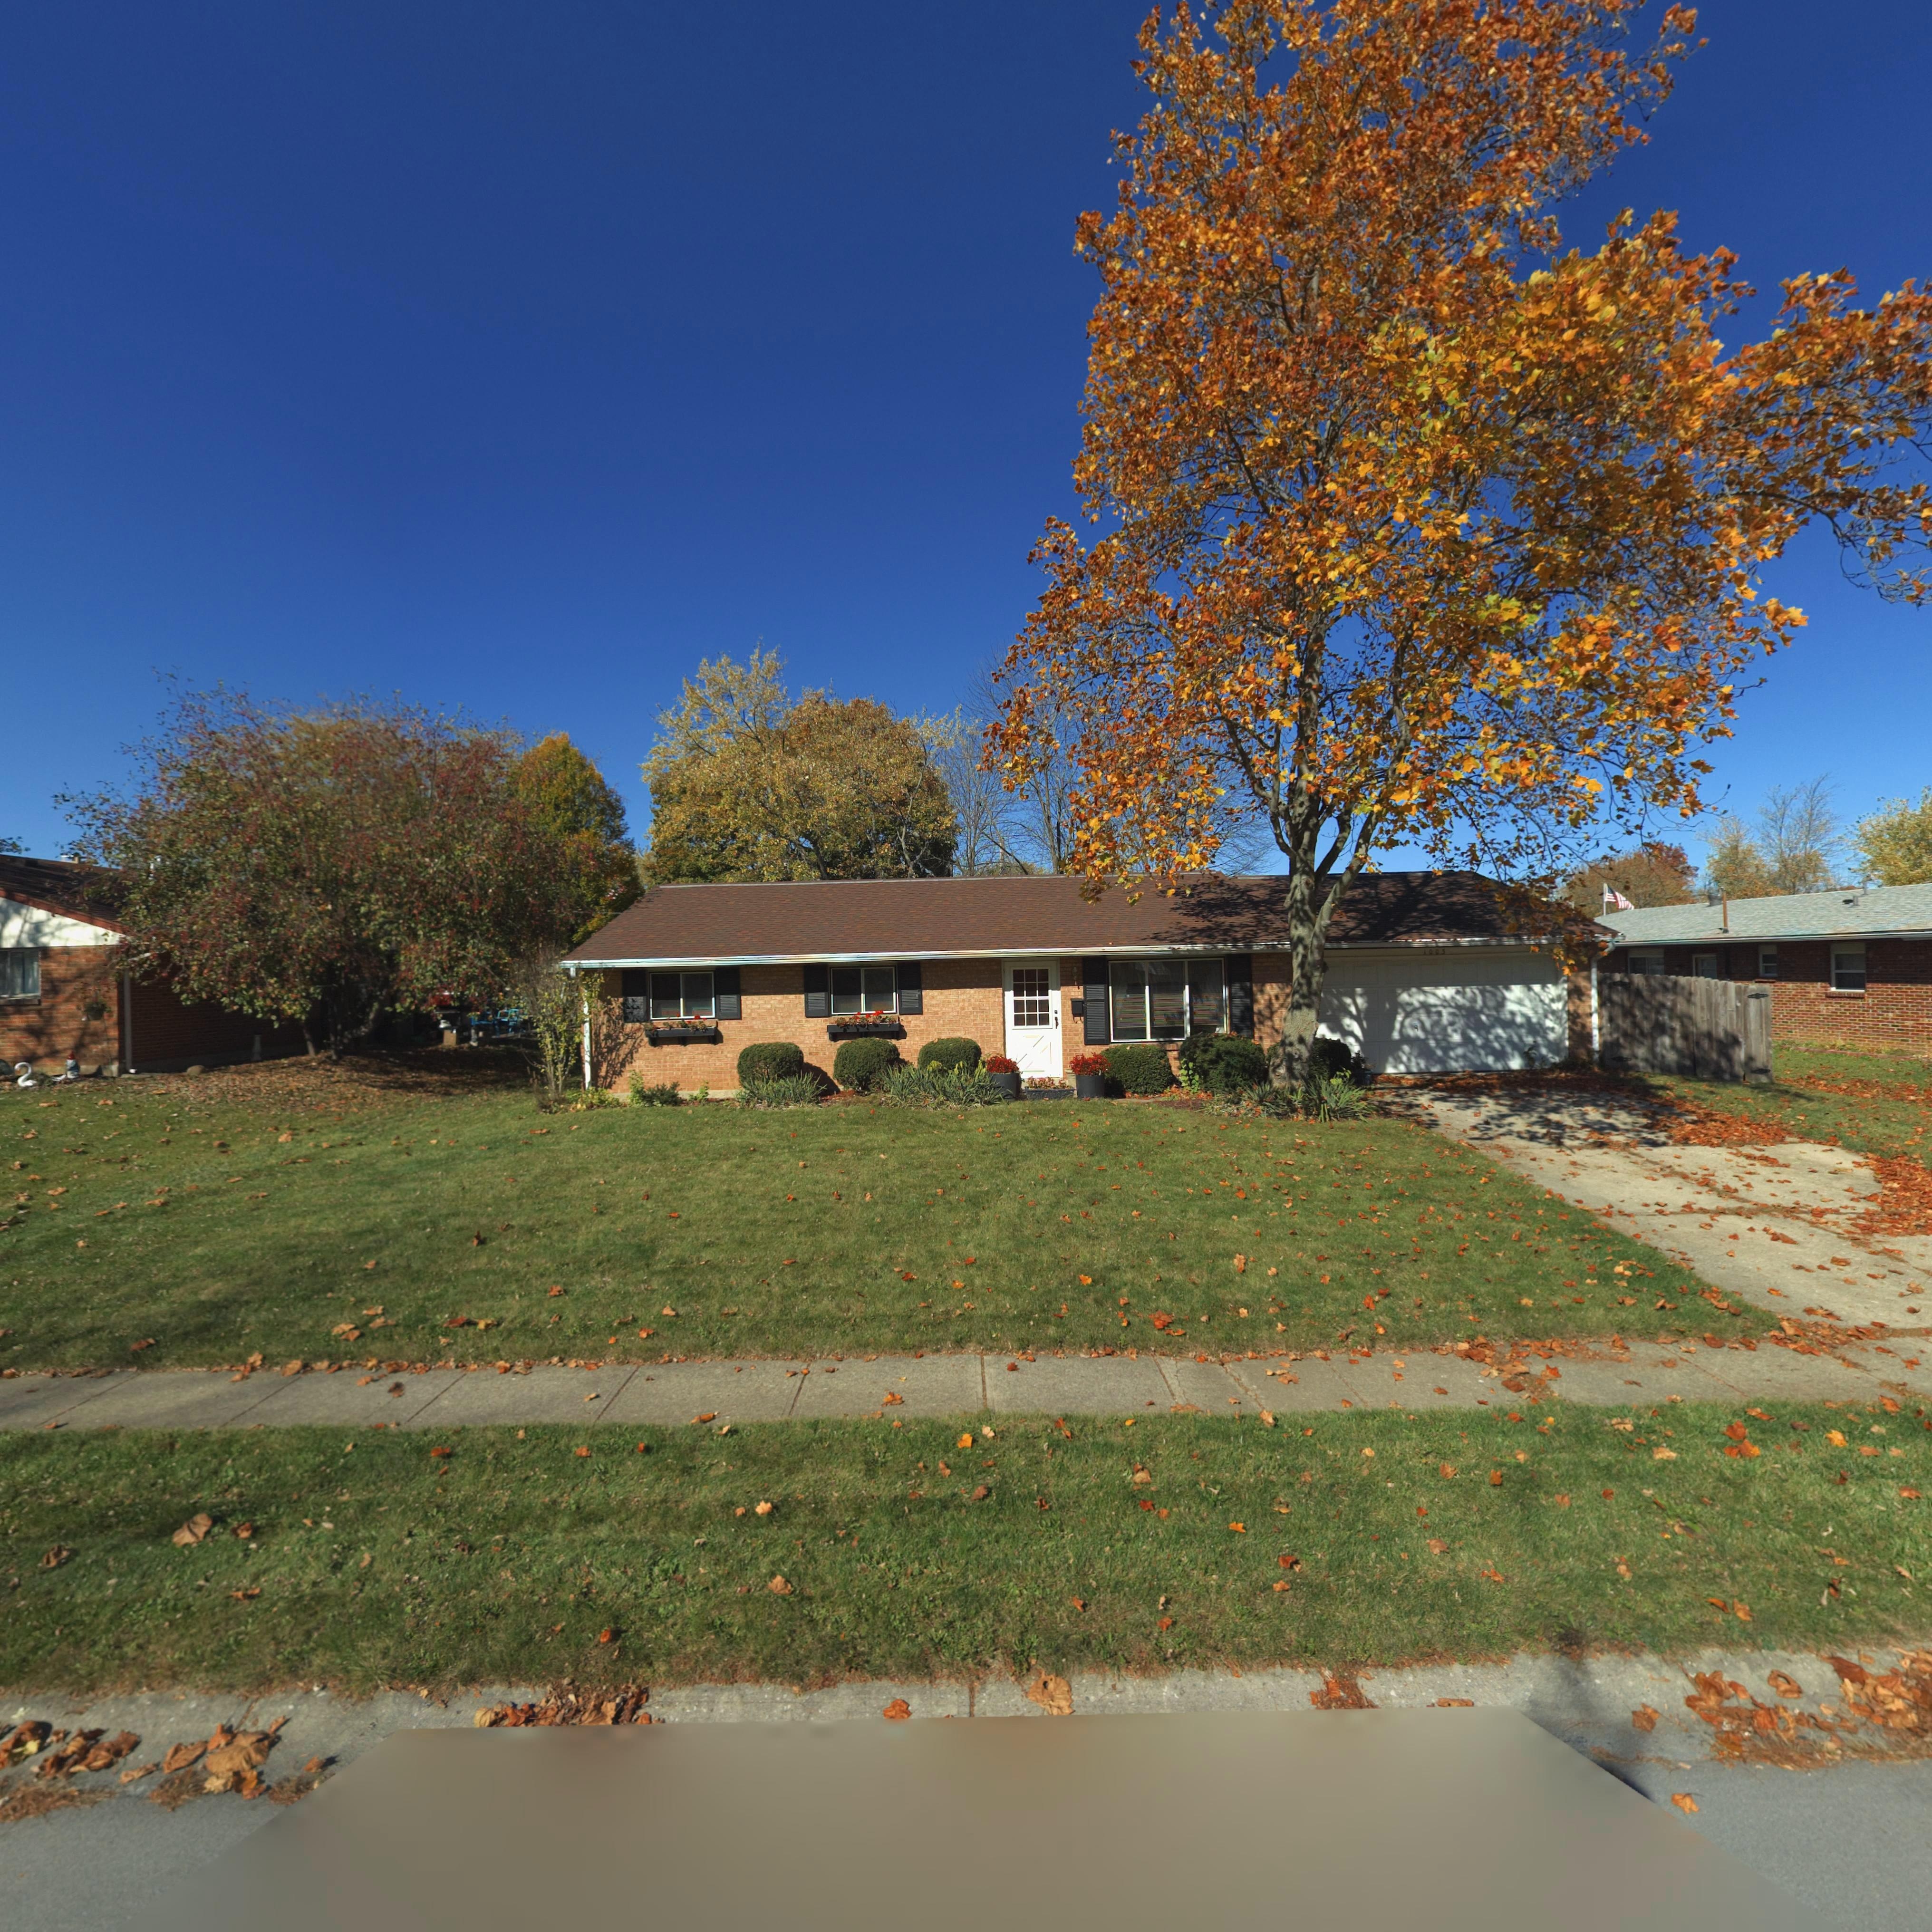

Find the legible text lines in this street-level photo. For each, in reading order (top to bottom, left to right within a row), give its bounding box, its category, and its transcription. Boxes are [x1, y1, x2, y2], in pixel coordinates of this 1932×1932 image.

[1423, 948, 1446, 956] StreetNumber: 1003